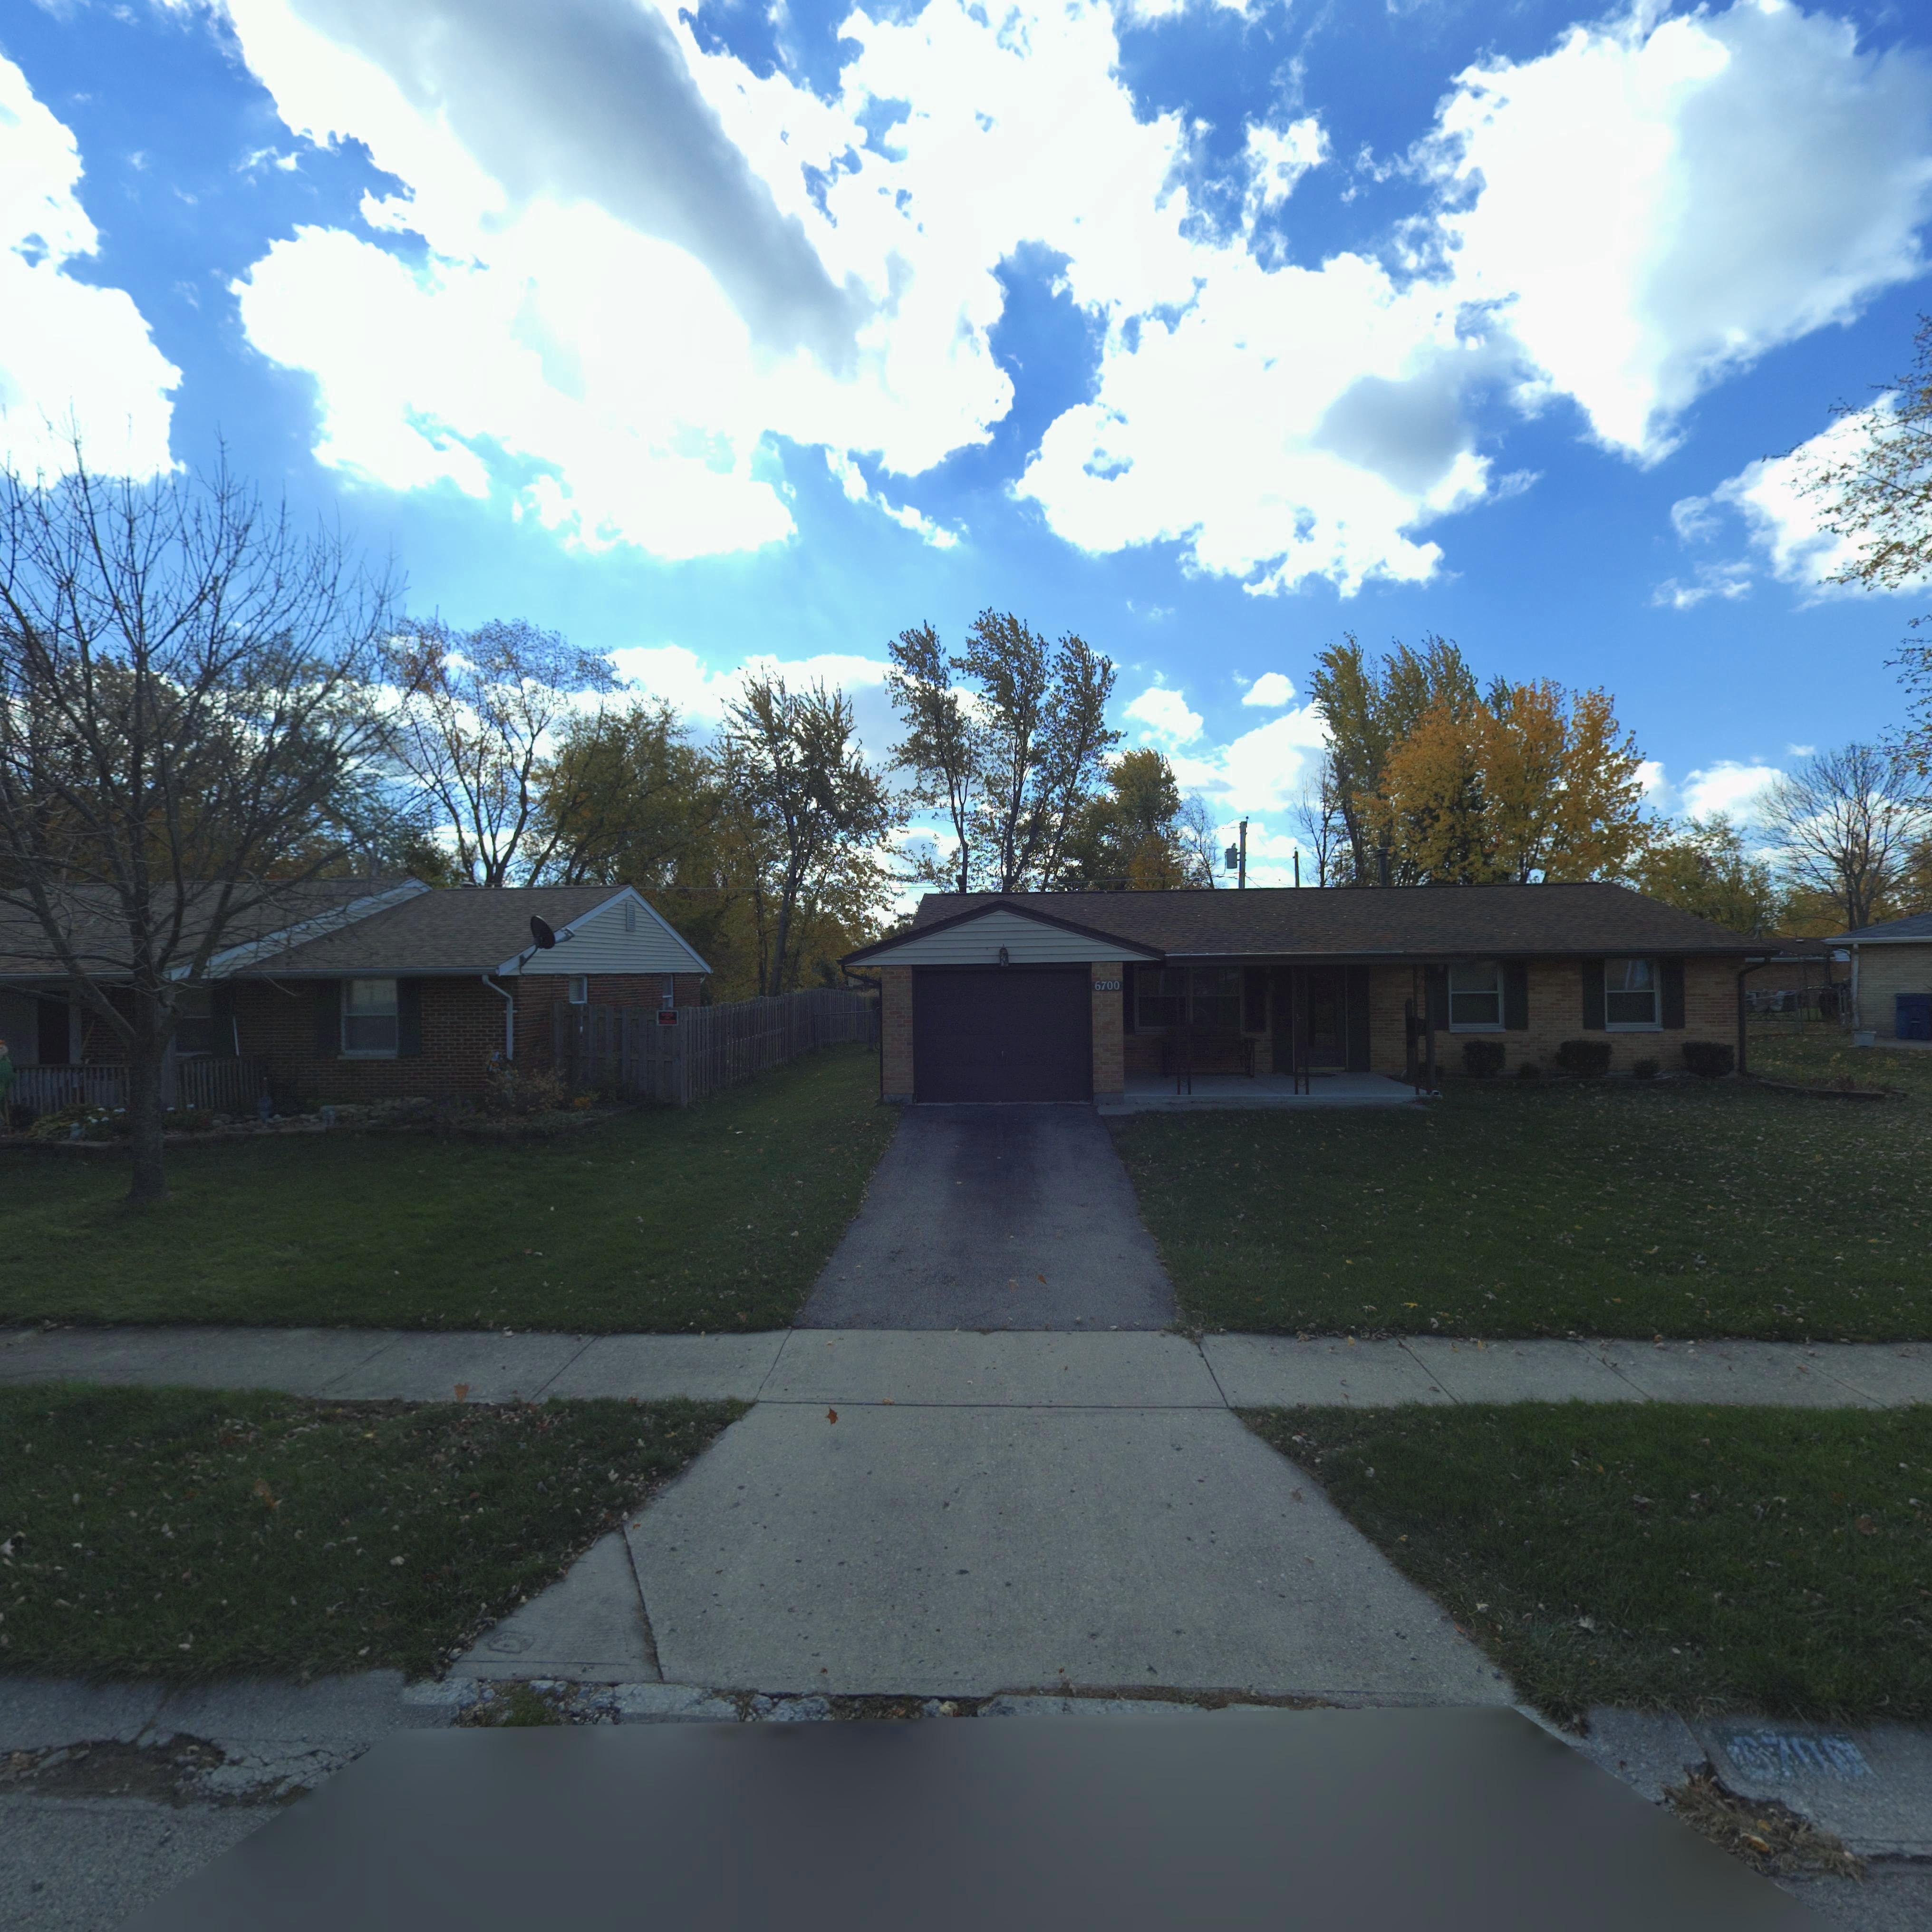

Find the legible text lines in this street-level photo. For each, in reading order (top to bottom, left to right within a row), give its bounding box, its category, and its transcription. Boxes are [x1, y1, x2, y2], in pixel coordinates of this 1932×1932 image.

[1094, 981, 1120, 991] StreetNumber: 6700
[1731, 1734, 1868, 1783] StreetNumber: 6700